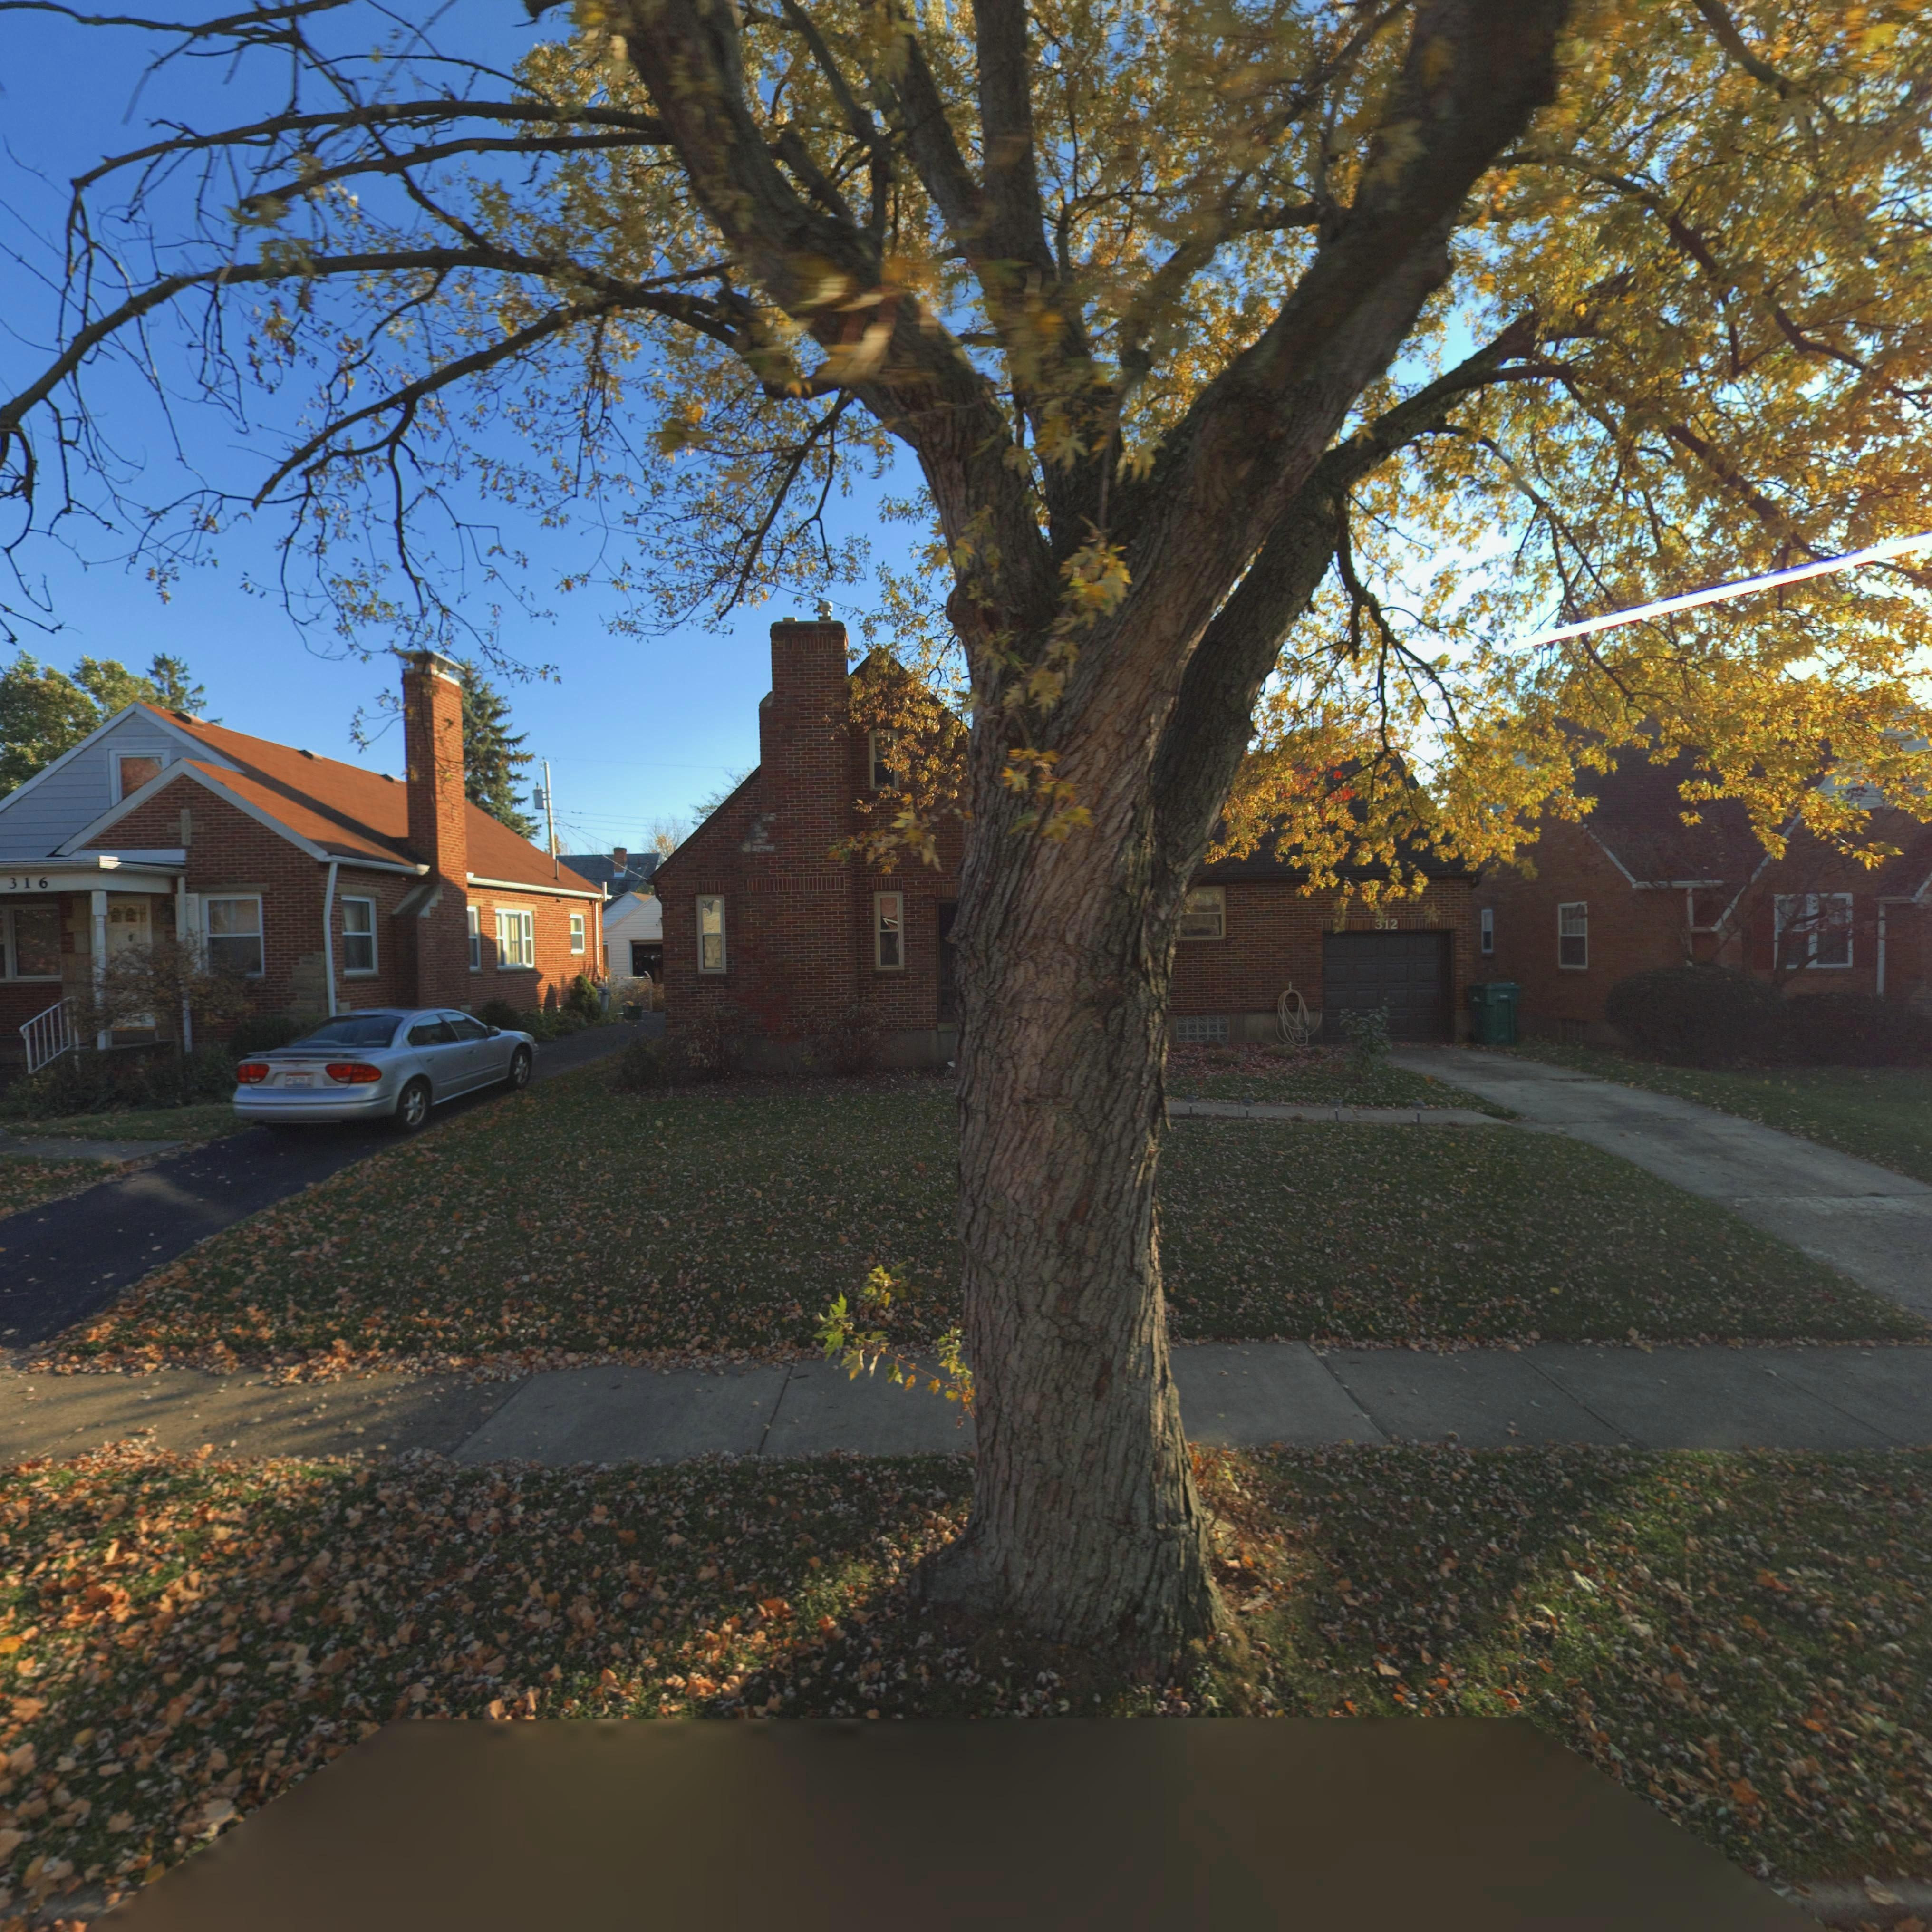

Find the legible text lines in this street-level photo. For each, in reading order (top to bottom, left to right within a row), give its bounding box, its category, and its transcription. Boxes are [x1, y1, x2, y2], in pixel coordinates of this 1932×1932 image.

[7, 876, 49, 890] StreetNumber: 316
[1374, 918, 1399, 930] StreetNumber: 312